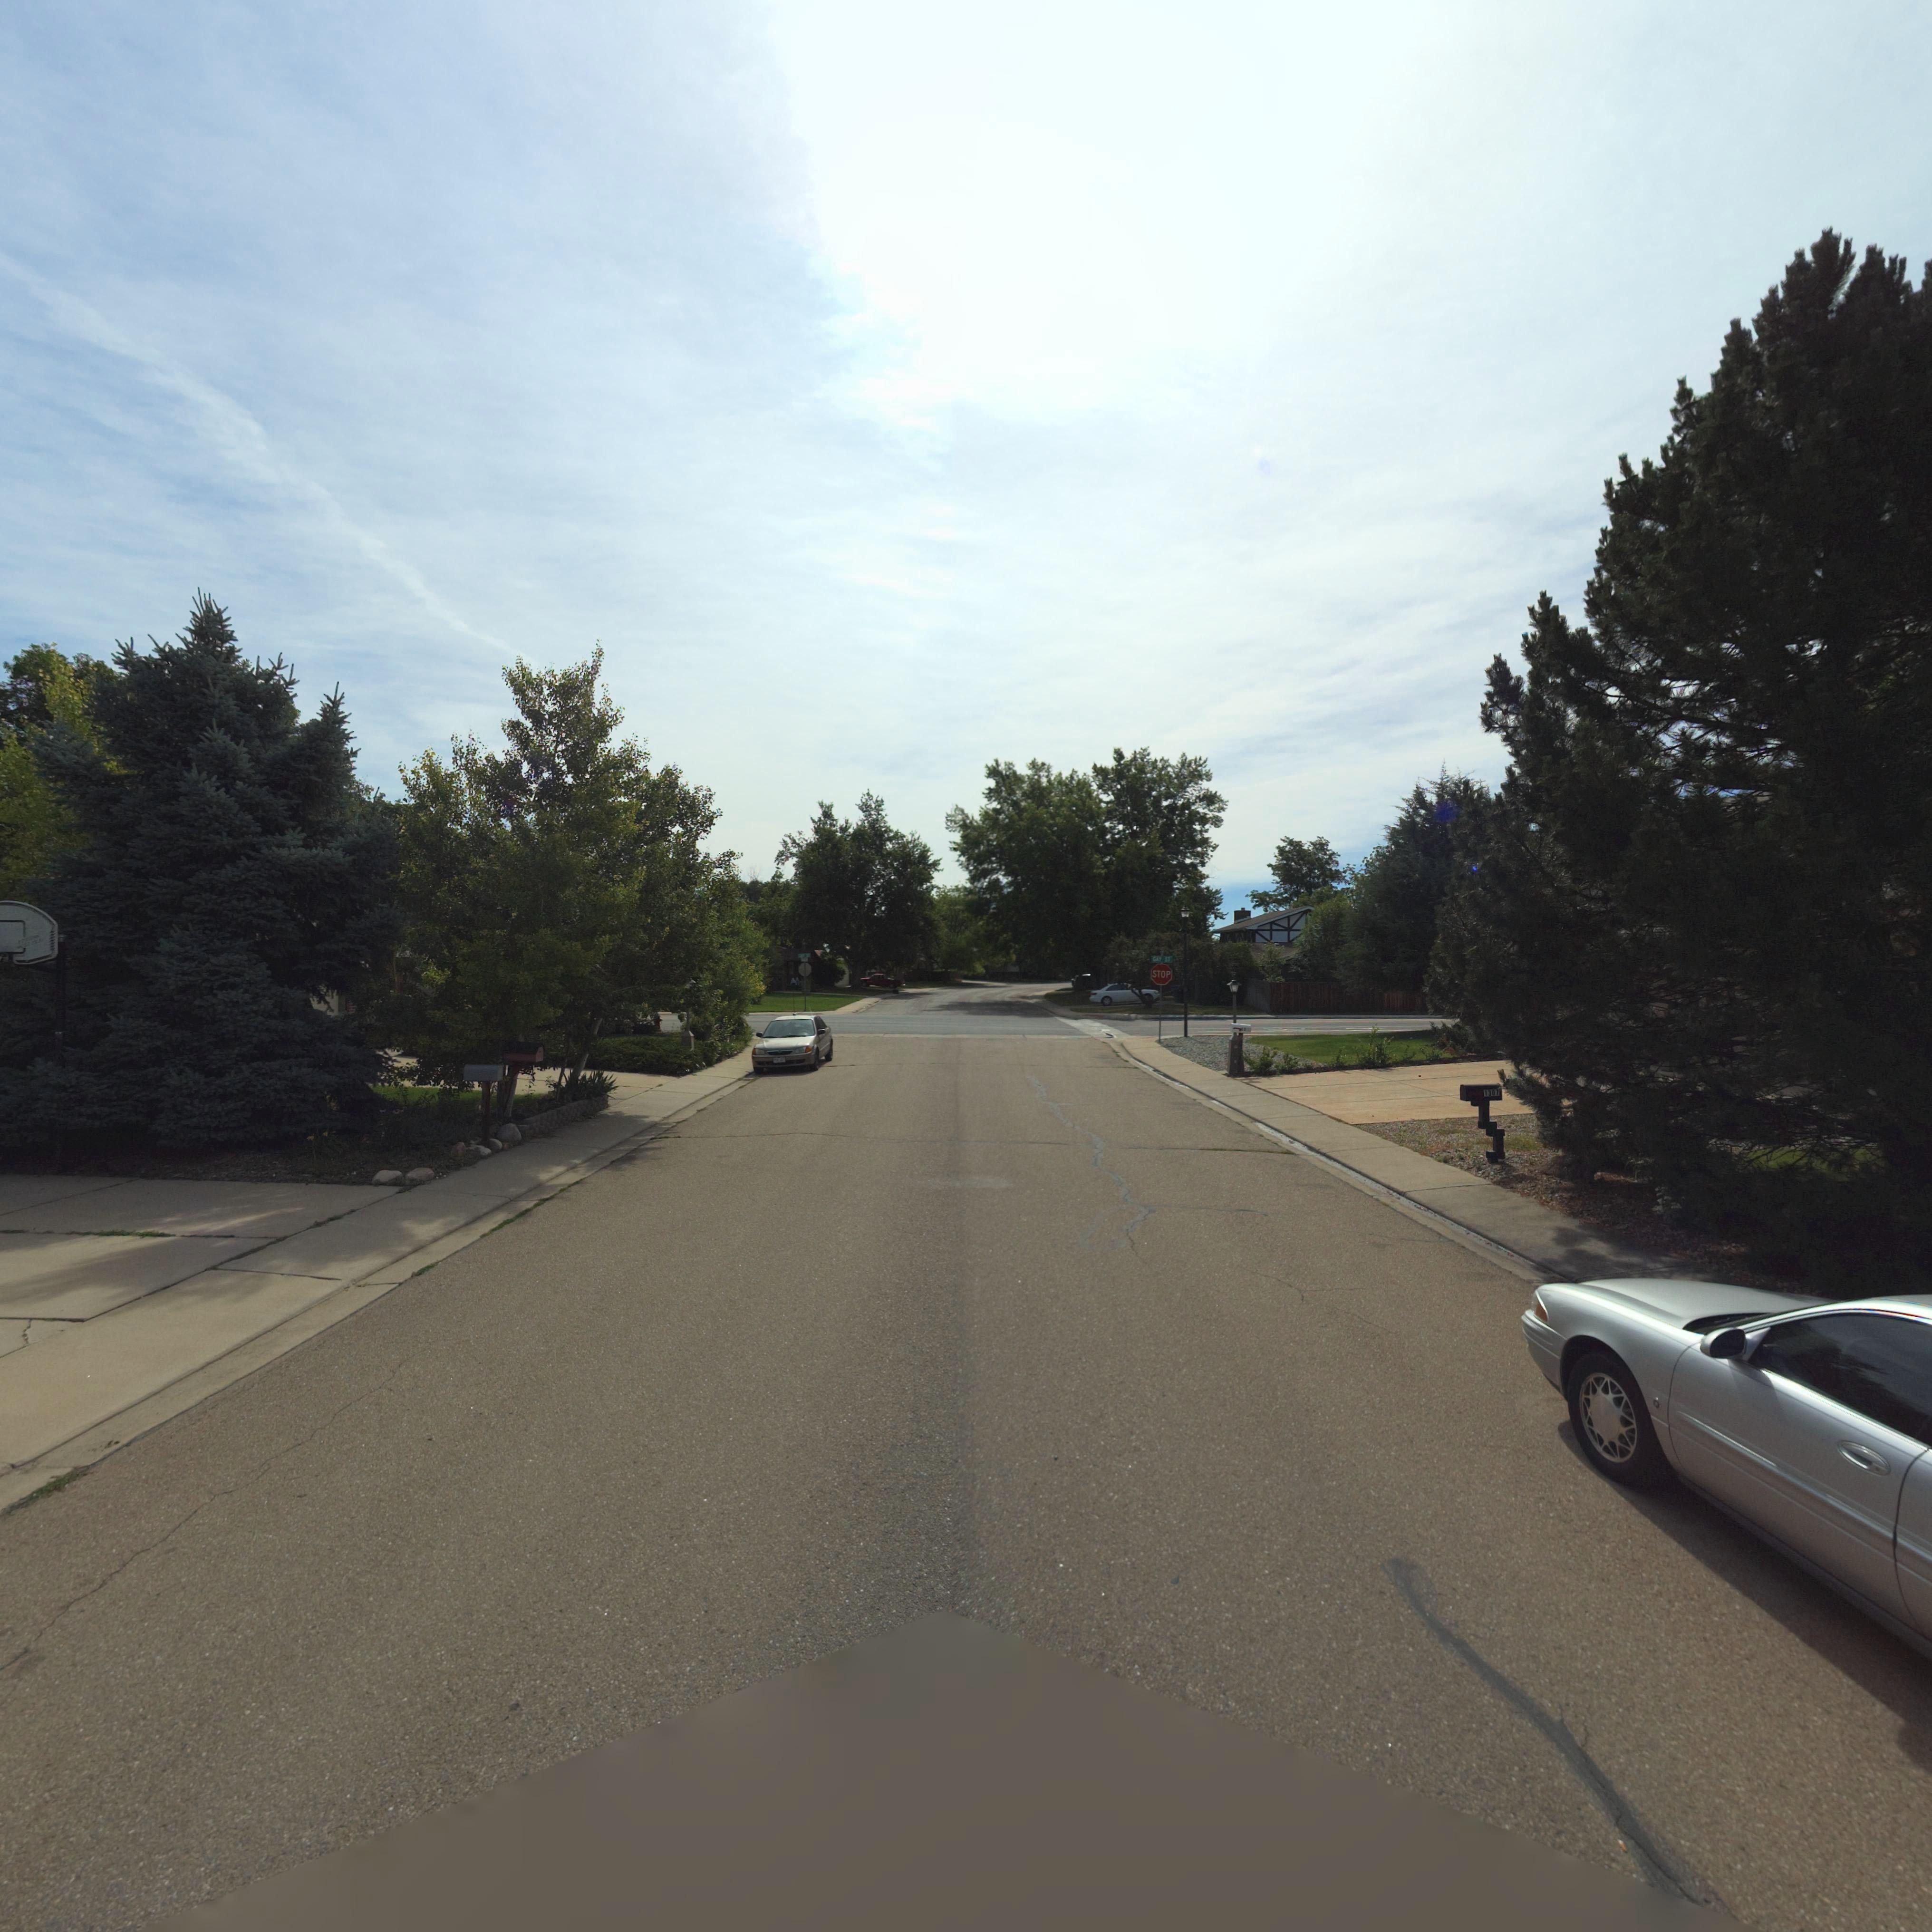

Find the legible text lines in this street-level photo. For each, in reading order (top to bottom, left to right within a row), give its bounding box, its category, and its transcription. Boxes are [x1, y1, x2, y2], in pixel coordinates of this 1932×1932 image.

[1152, 956, 1171, 962] StreetName: GAY ST
[1241, 1027, 1246, 1031] StreetNumber: 1*
[1484, 1089, 1498, 1097] StreetNumber: 1307